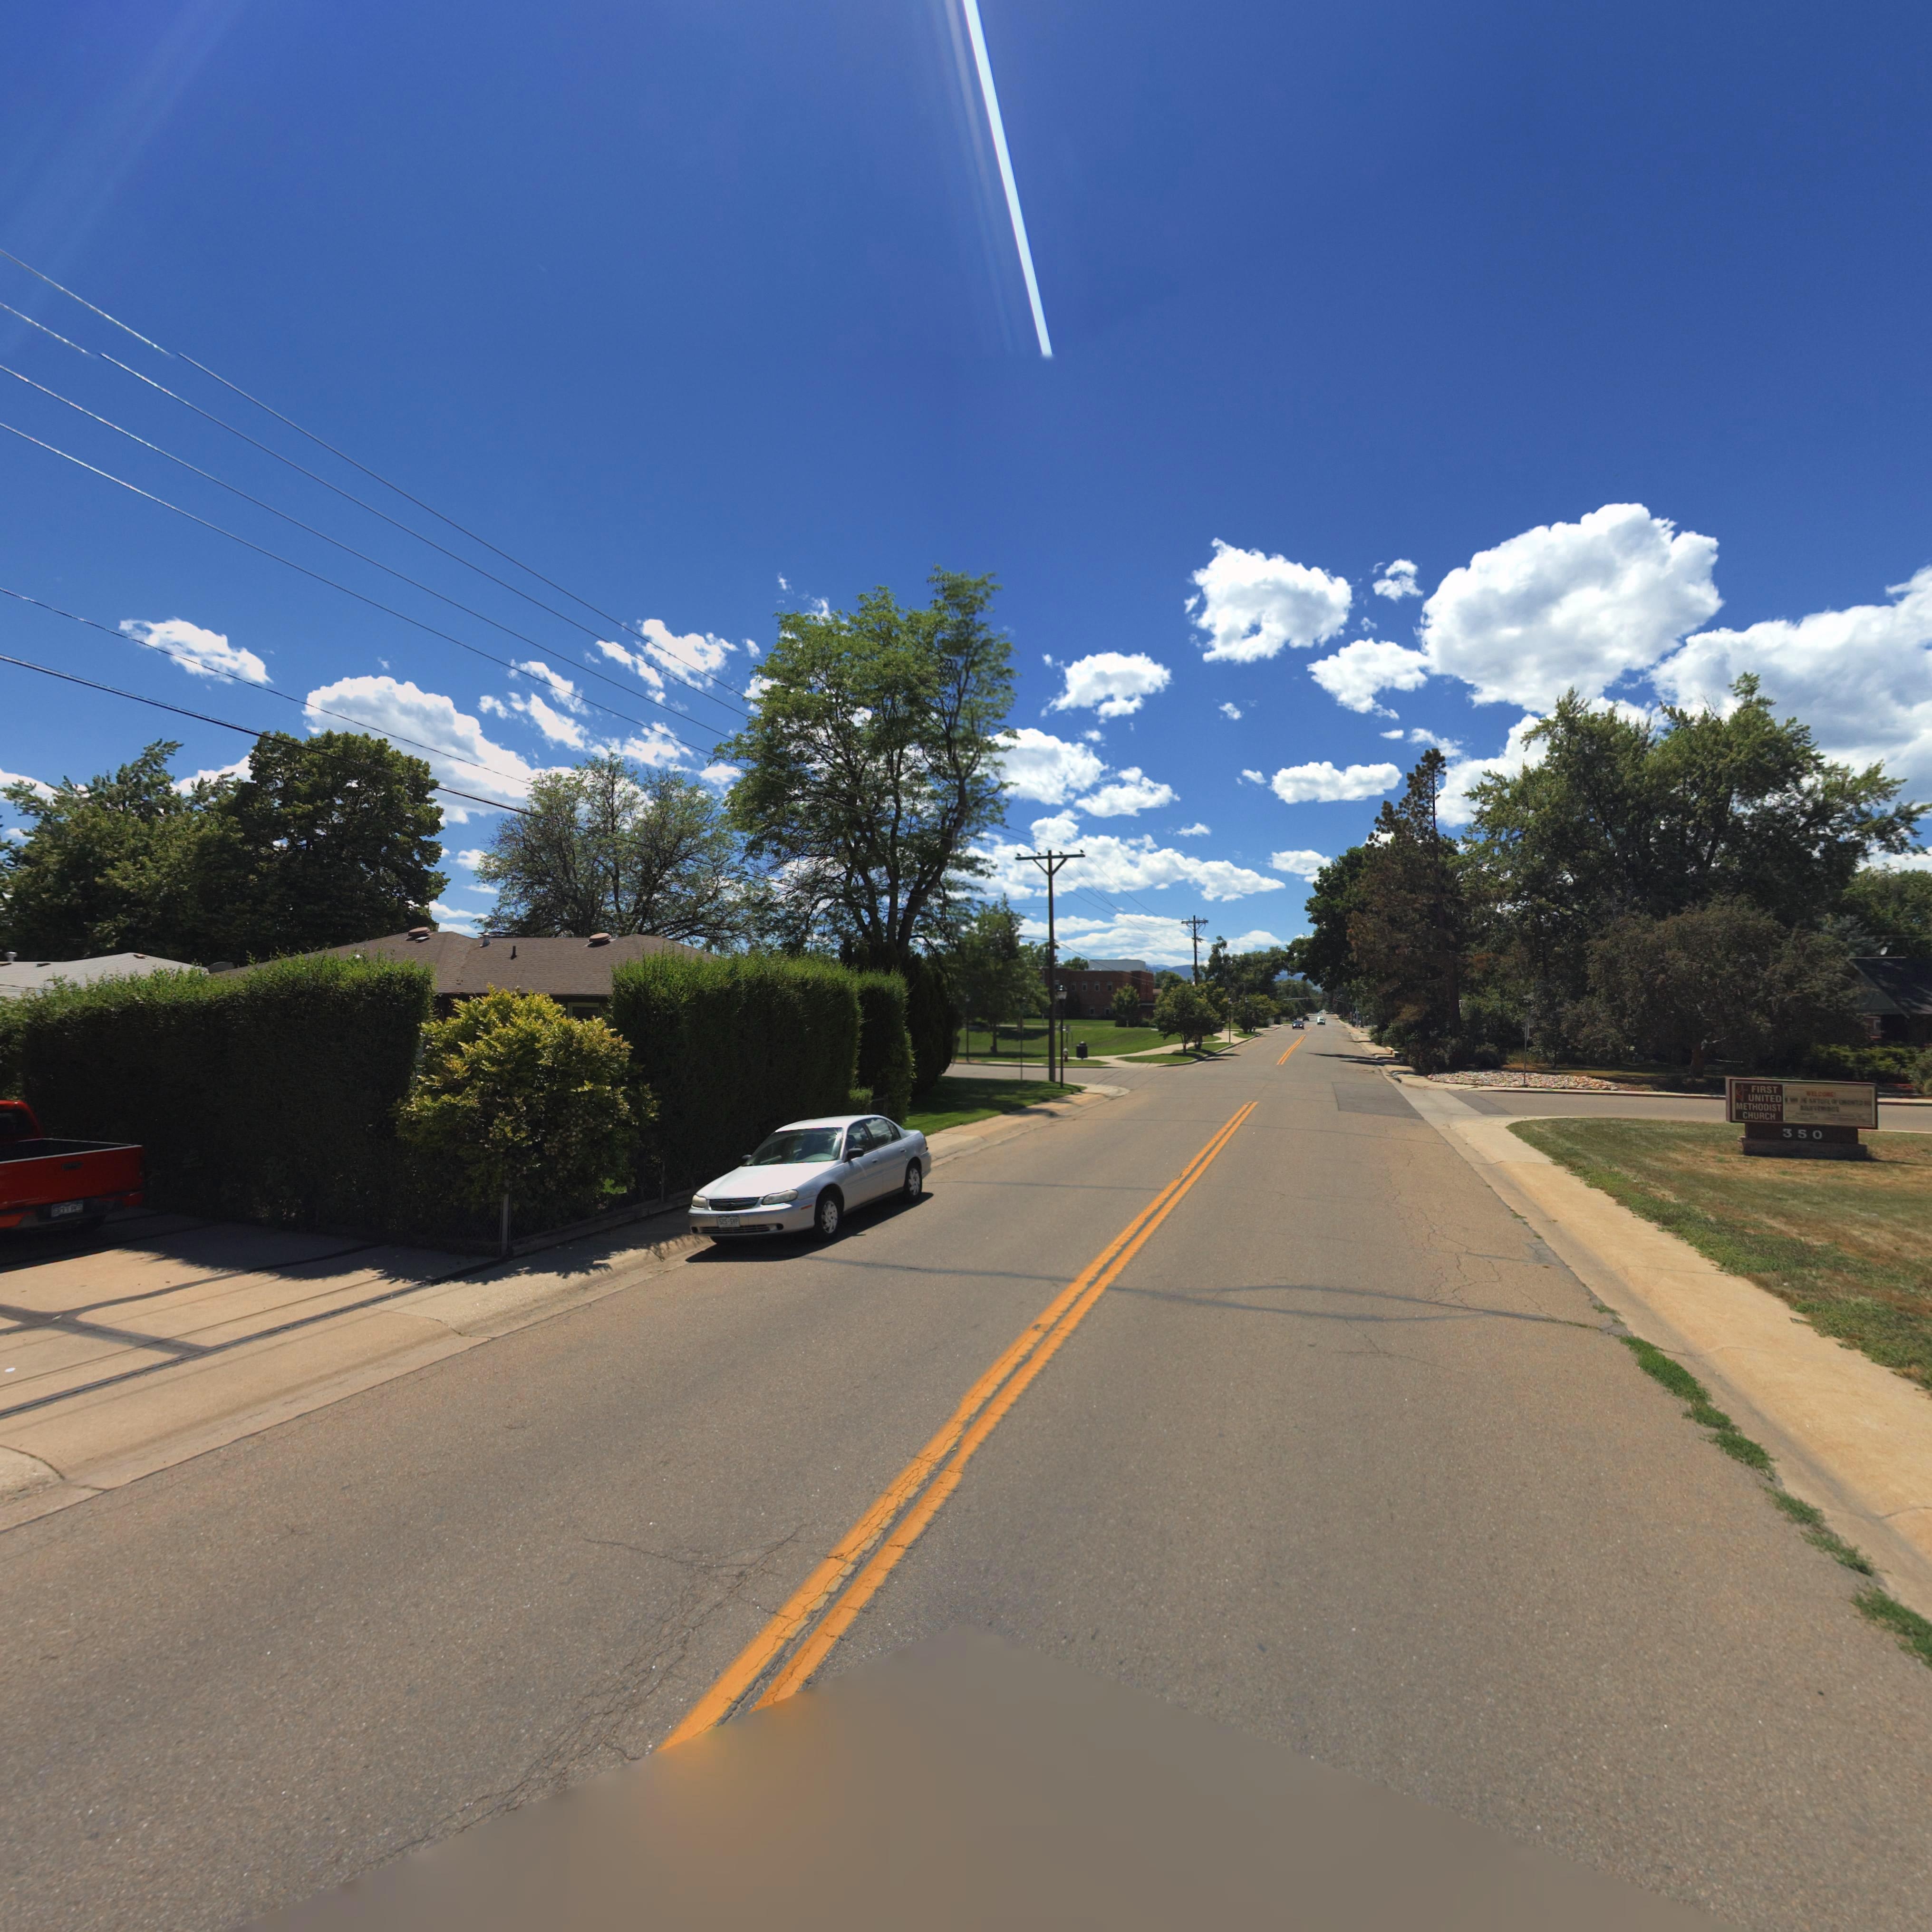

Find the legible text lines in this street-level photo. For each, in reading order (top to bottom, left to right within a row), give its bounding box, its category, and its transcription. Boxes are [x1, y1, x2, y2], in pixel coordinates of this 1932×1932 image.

[1751, 1085, 1778, 1094] BusinessName: FIRST
[1748, 1093, 1782, 1103] BusinessName: UNITED
[1736, 1102, 1782, 1112] BusinessName: METHODIST
[1742, 1111, 1776, 1121] BusinessName: CHURCH
[1782, 1128, 1823, 1140] StreetNumber: 350